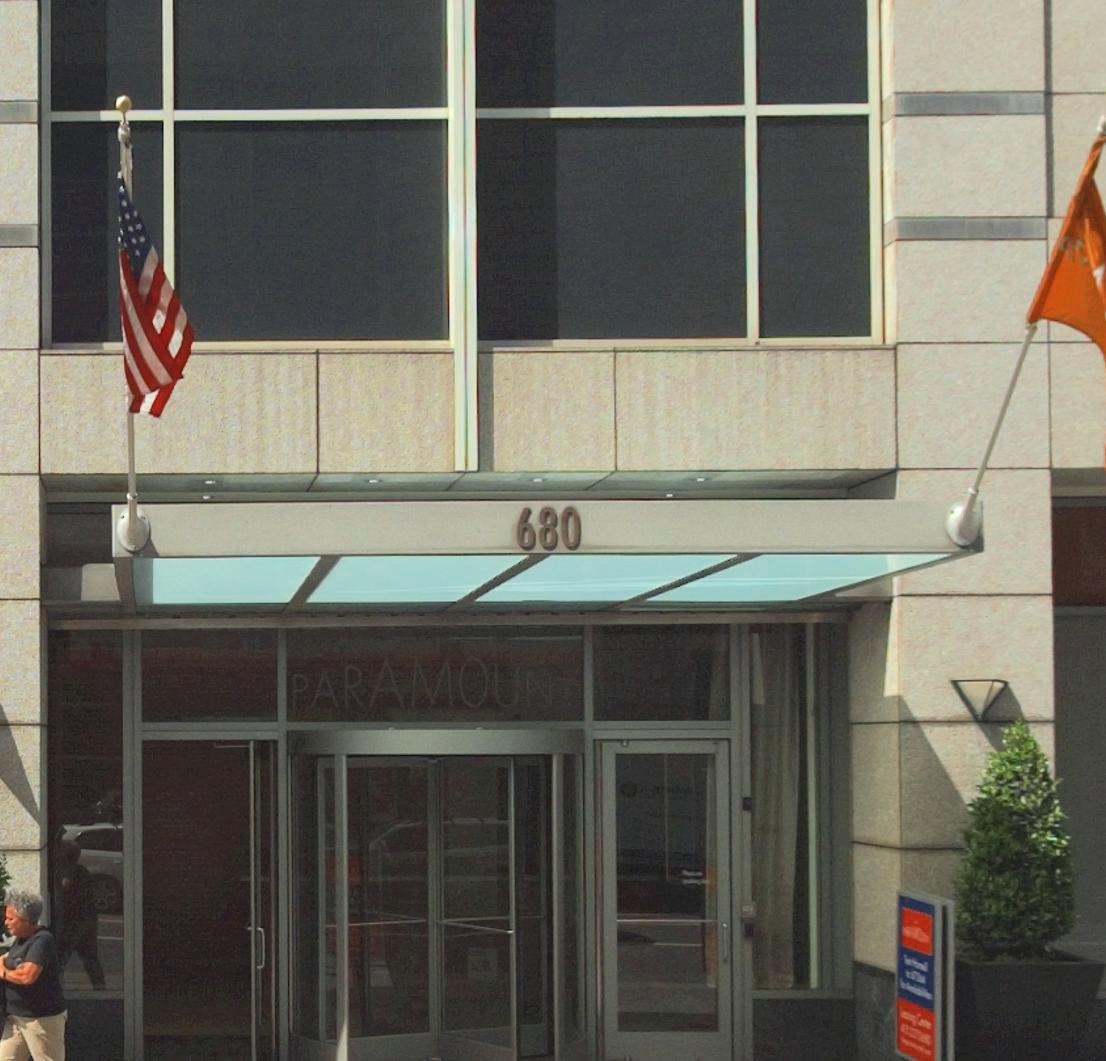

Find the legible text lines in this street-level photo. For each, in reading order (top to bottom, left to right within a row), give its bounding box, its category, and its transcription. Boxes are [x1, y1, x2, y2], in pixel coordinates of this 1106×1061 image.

[513, 504, 585, 553] StreetNumber: 680
[290, 652, 578, 712] BusinessName: PARAMOUNT